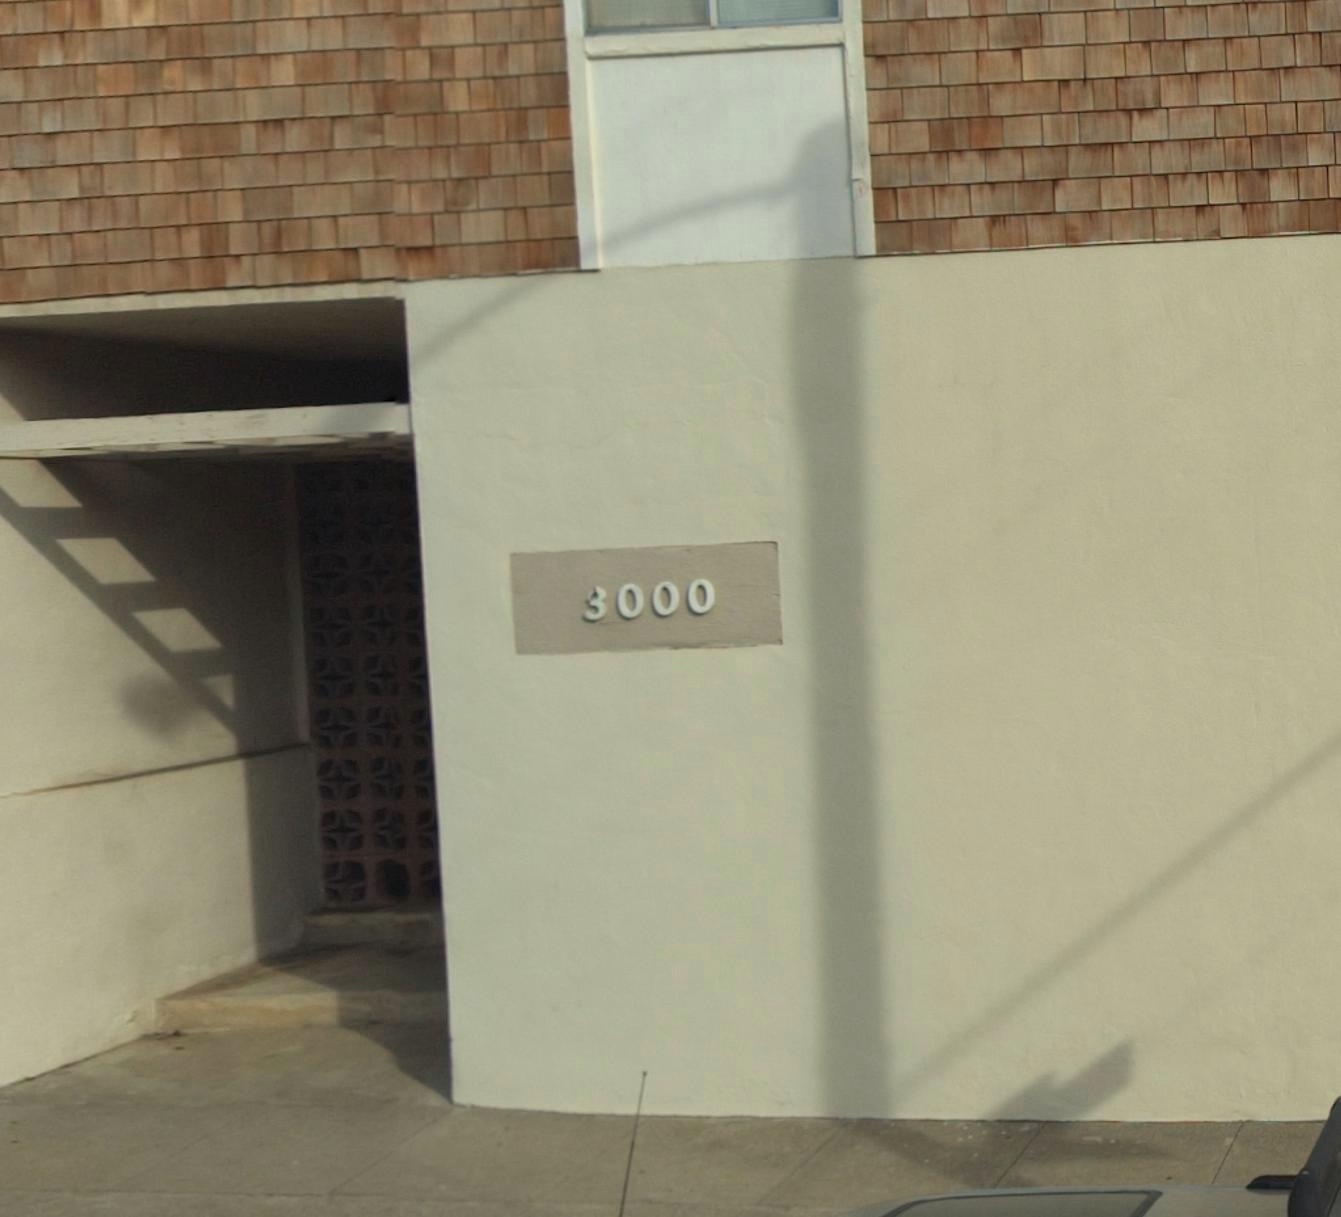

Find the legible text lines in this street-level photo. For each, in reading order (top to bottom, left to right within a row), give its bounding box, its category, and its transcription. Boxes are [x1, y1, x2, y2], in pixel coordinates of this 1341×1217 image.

[579, 574, 719, 626] StreetNumber: 3000